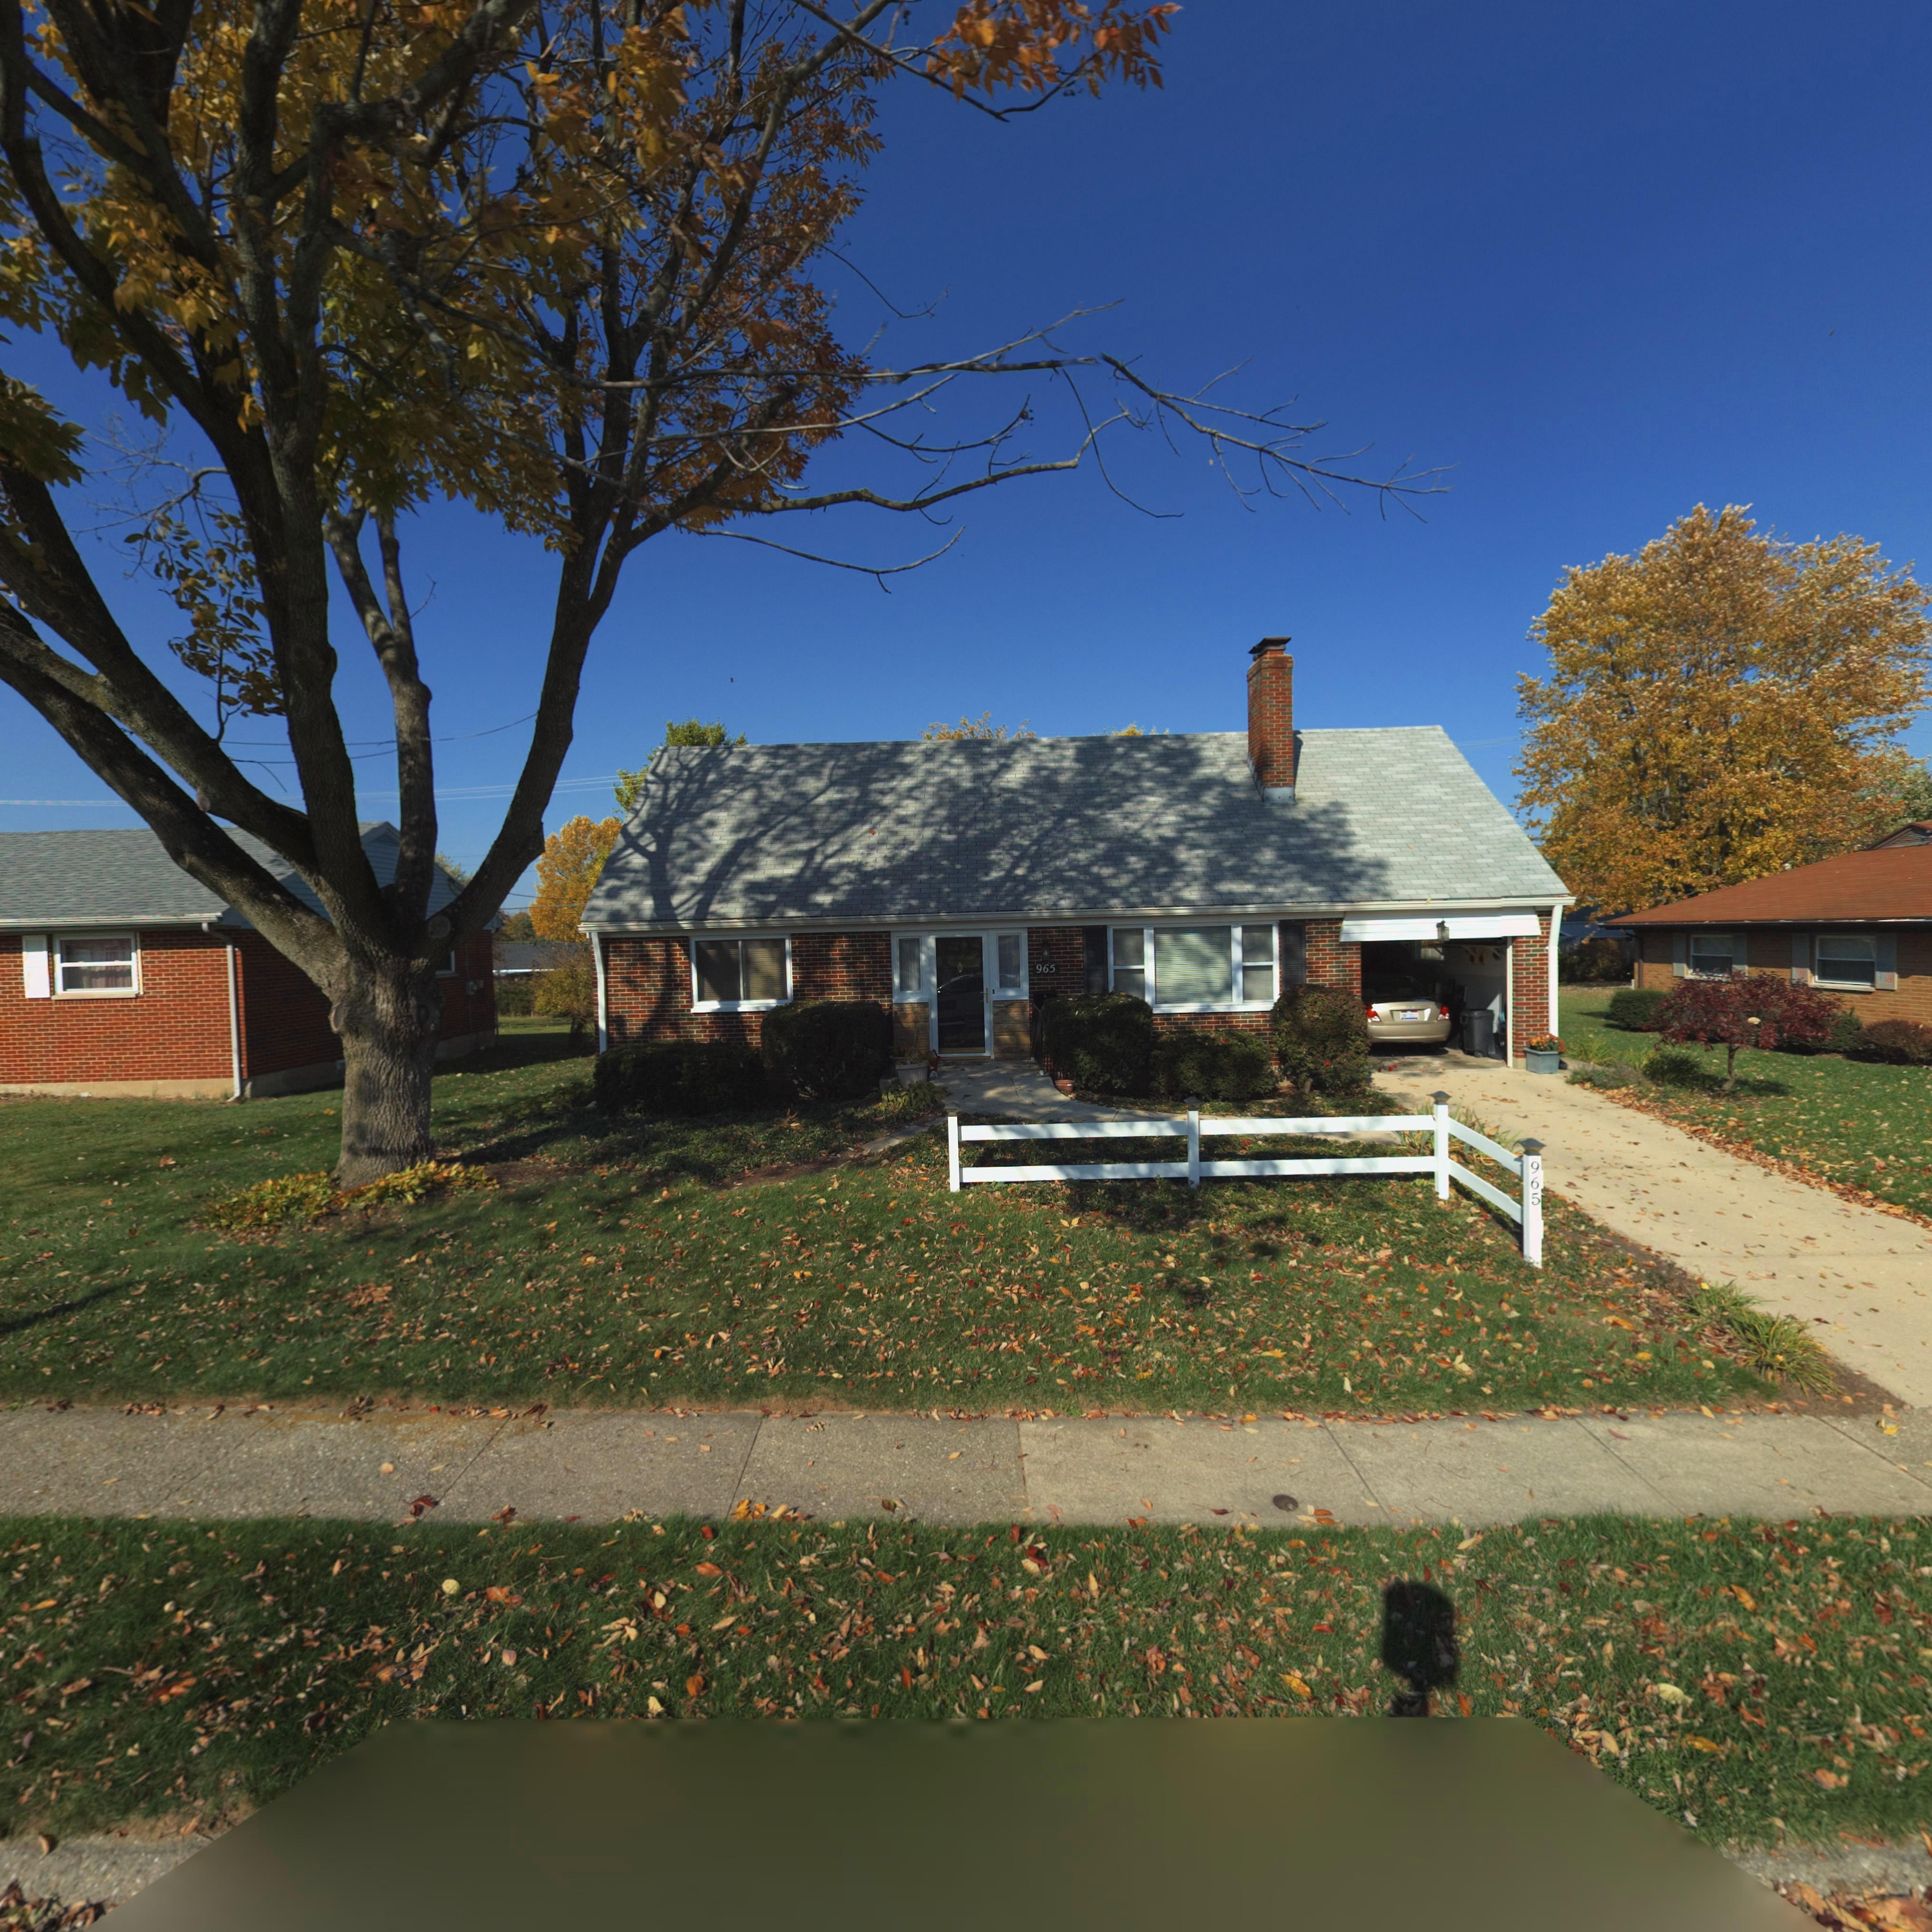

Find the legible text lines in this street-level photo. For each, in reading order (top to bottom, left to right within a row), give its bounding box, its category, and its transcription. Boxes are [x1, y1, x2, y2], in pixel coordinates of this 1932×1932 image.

[1036, 964, 1055, 974] StreetNumber: 965
[1530, 1161, 1540, 1206] StreetNumber: 965